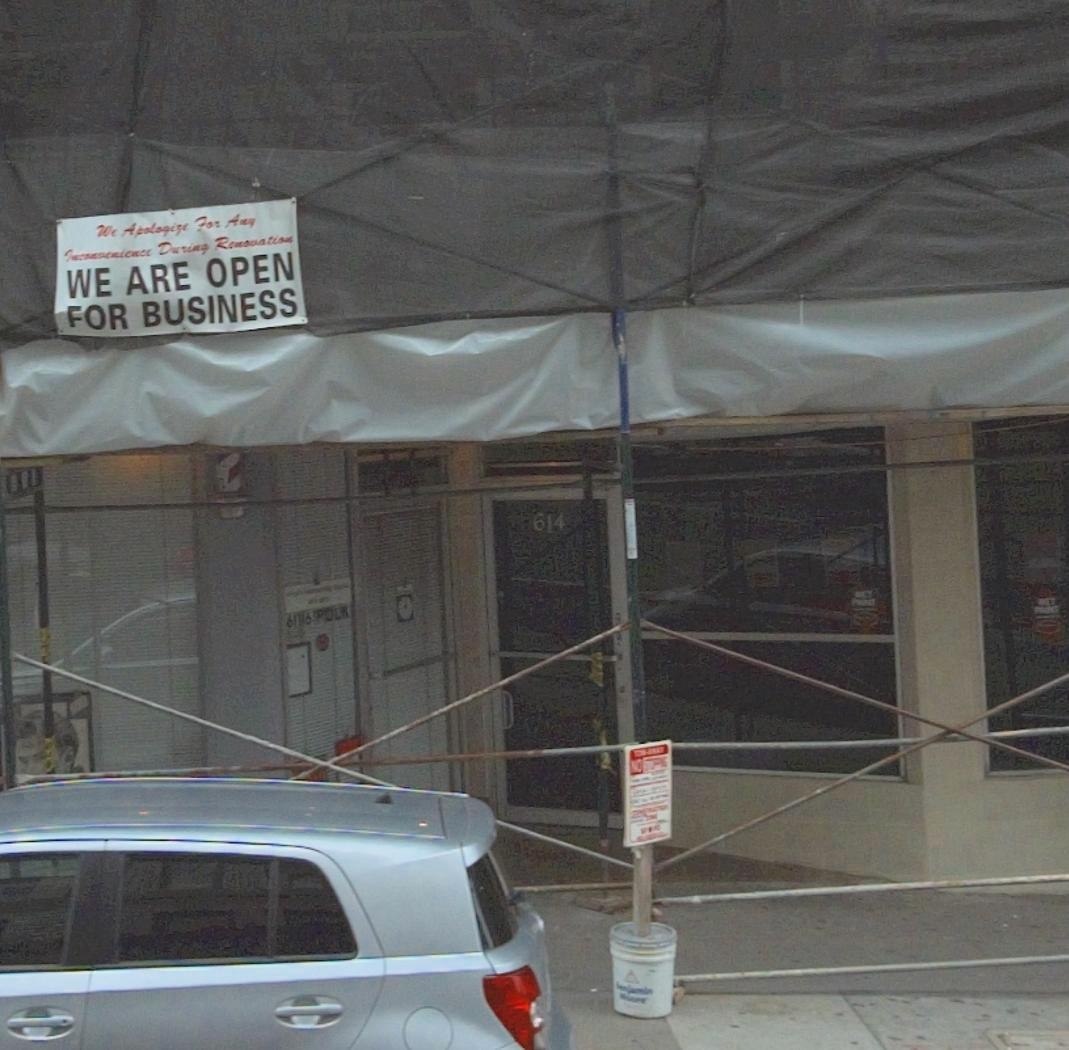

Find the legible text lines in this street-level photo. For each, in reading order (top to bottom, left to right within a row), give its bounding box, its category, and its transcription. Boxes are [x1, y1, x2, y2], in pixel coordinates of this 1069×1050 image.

[95, 213, 257, 239] None: We Apologize For Any
[66, 251, 295, 300] None: WE ARE OPEN
[66, 287, 298, 331] None: FOR BUSINESS
[532, 511, 566, 531] StreetNumber: 614
[286, 611, 313, 629] StreetNumber: 6*6
[315, 604, 350, 625] StreetName: POL*
[631, 758, 643, 774] None: NO